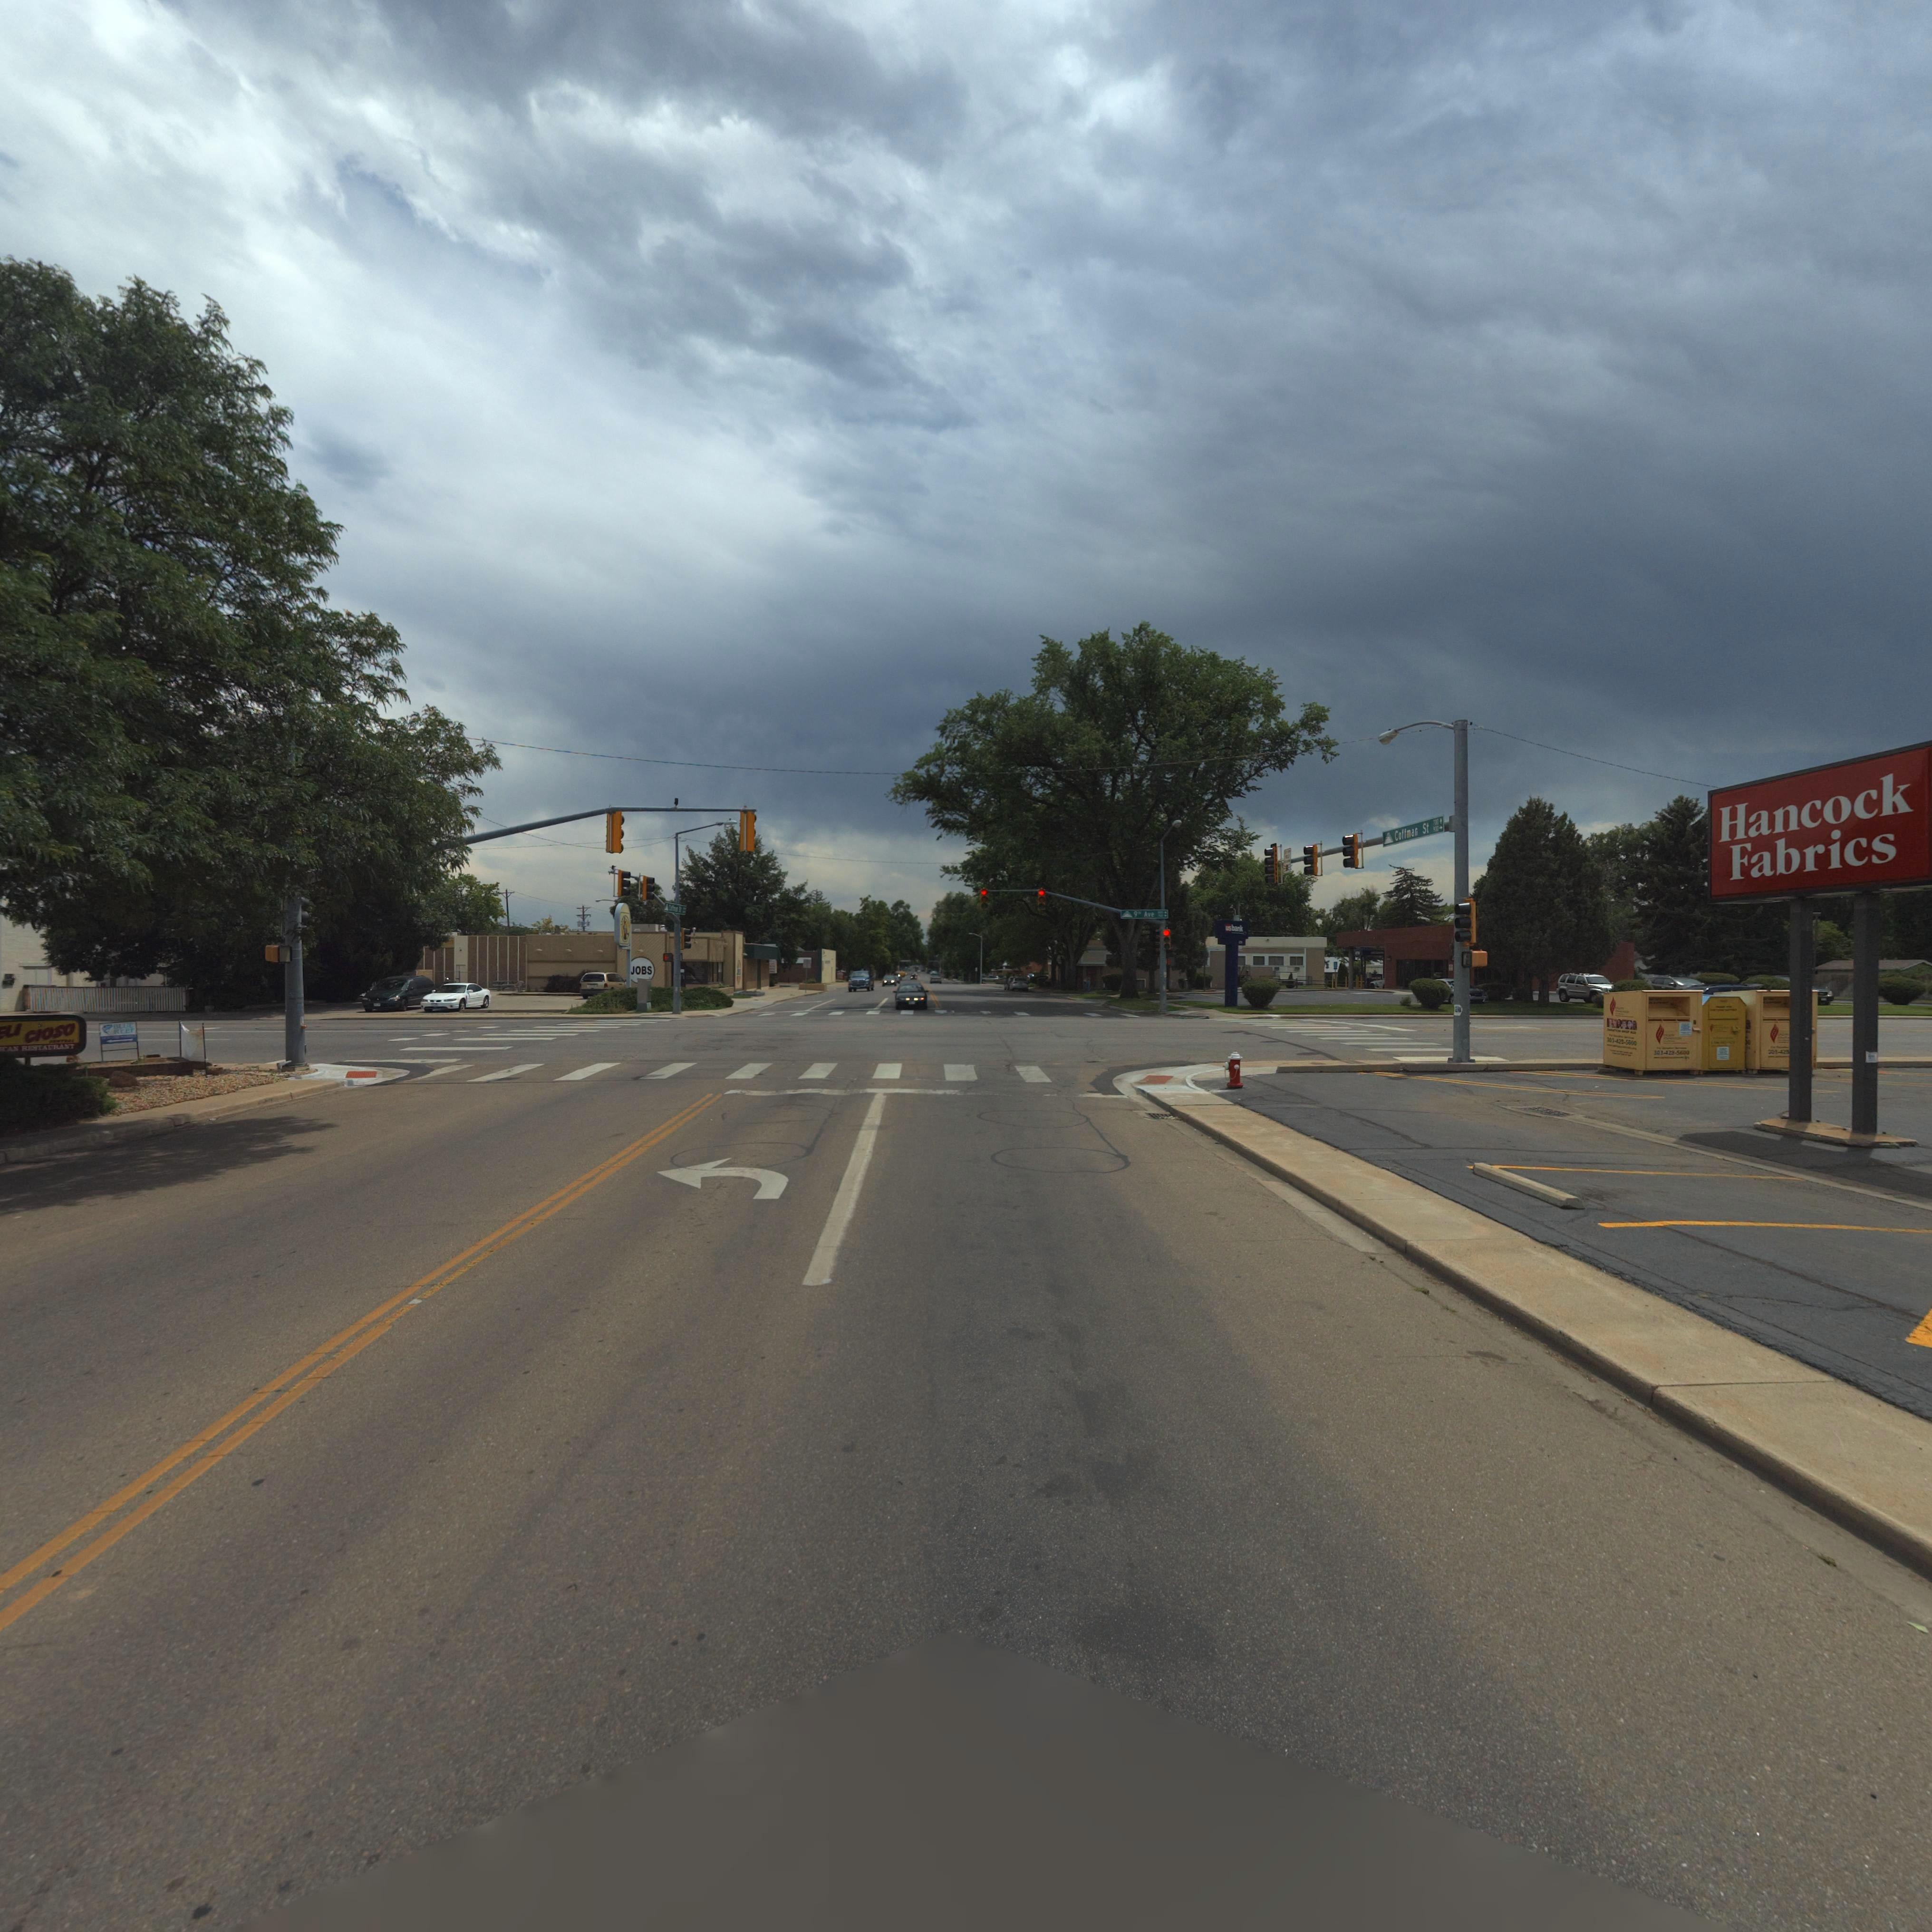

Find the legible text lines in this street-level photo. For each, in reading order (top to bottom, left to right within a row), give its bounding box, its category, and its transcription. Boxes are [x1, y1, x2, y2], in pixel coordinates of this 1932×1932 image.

[1717, 769, 1915, 843] BusinessName: Hancock
[1432, 818, 1439, 826] StreetNumberRange: *00
[1393, 822, 1430, 841] BusinessName: Coffman St
[1432, 825, 1443, 832] StreetNumberRange: *00->
[1729, 829, 1898, 881] BusinessName: Fabrics
[1133, 911, 1154, 918] BusinessName: 9** Ave
[1225, 924, 1243, 932] BusinessName: usbank
[113, 1022, 134, 1029] BusinessName: BLUE
[4, 1022, 22, 1039] BusinessName: LI
[23, 1022, 75, 1044] BusinessName: CiOSO
[113, 1027, 135, 1034] BusinessName: REEF
[1, 1043, 75, 1053] BusinessName: CAN RESTAURANT